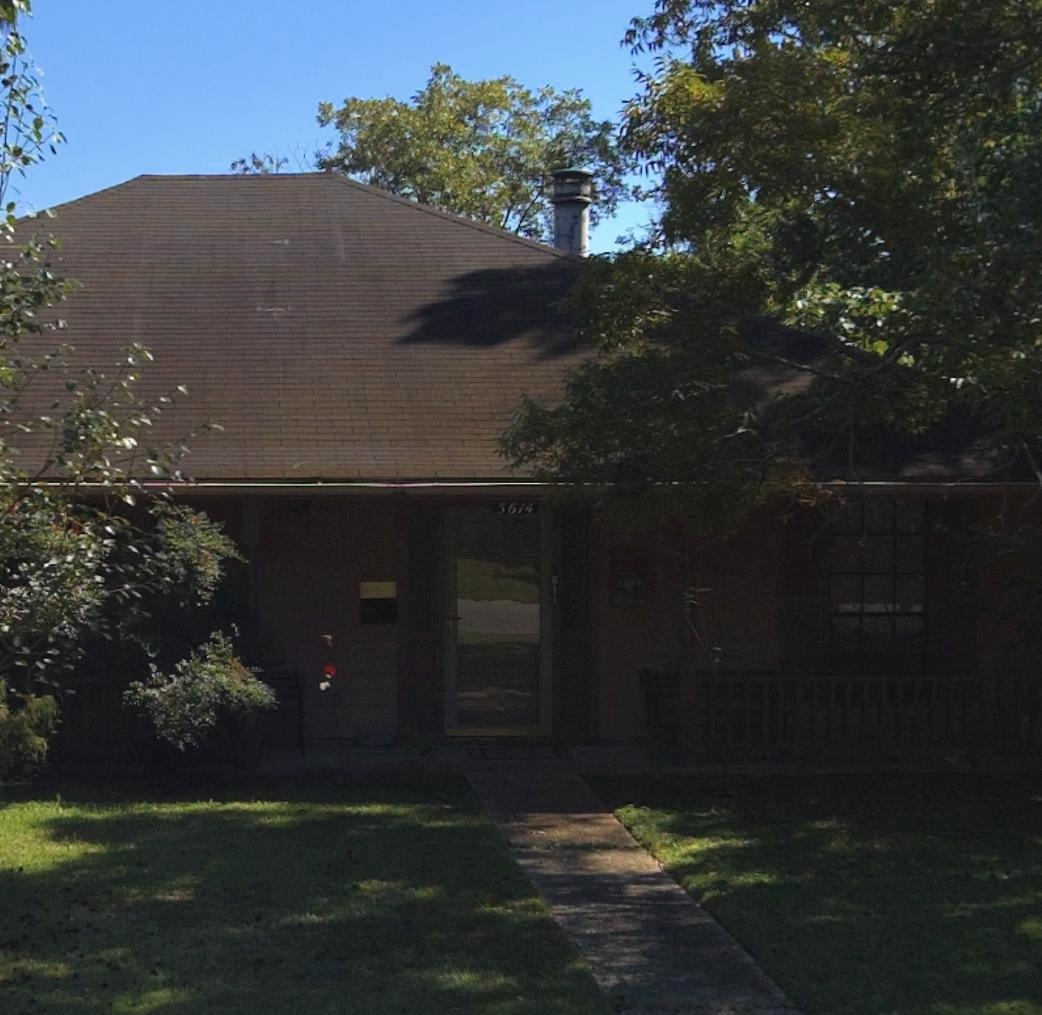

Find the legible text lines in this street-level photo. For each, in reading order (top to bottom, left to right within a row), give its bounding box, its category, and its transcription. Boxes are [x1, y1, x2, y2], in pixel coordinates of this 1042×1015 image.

[496, 500, 535, 515] StreetNumber: 5614